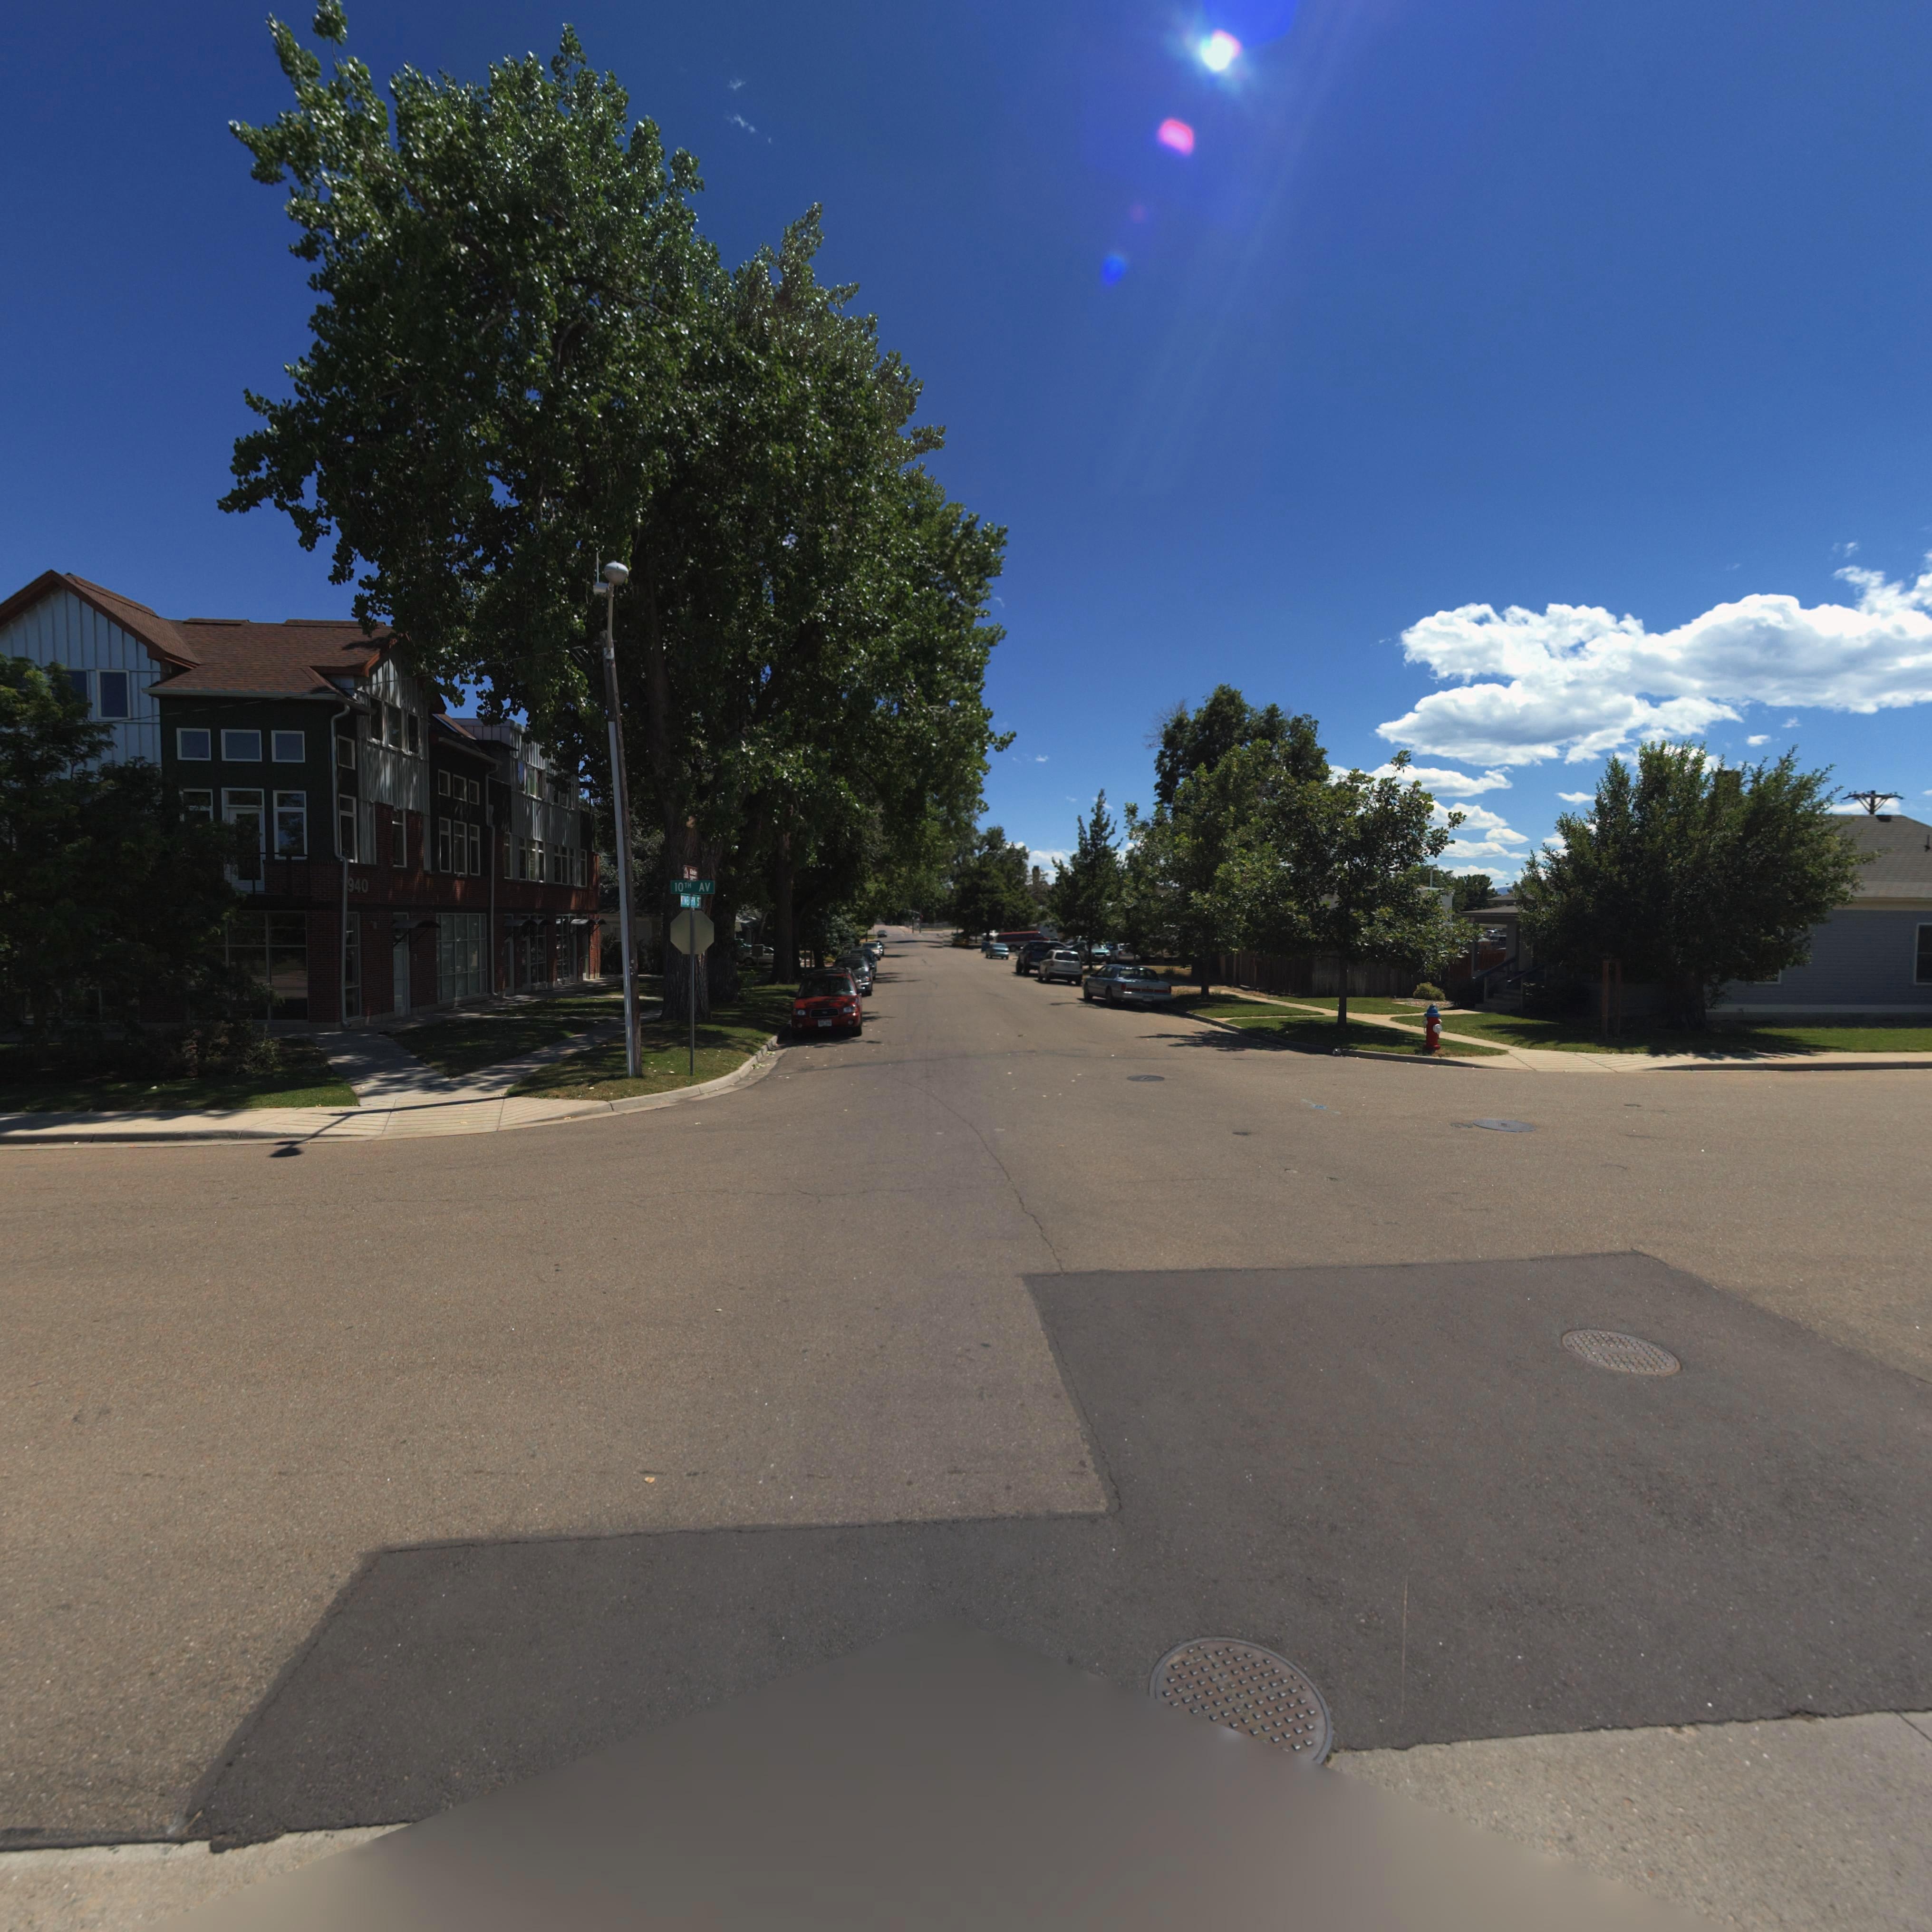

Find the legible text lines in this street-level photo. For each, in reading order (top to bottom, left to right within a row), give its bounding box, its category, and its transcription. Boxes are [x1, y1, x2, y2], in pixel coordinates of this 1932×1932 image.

[347, 877, 369, 893] StreetNumber: 940
[675, 882, 710, 892] StreetName: 10TH AV
[680, 895, 701, 907] StreetName: ***BARK ST